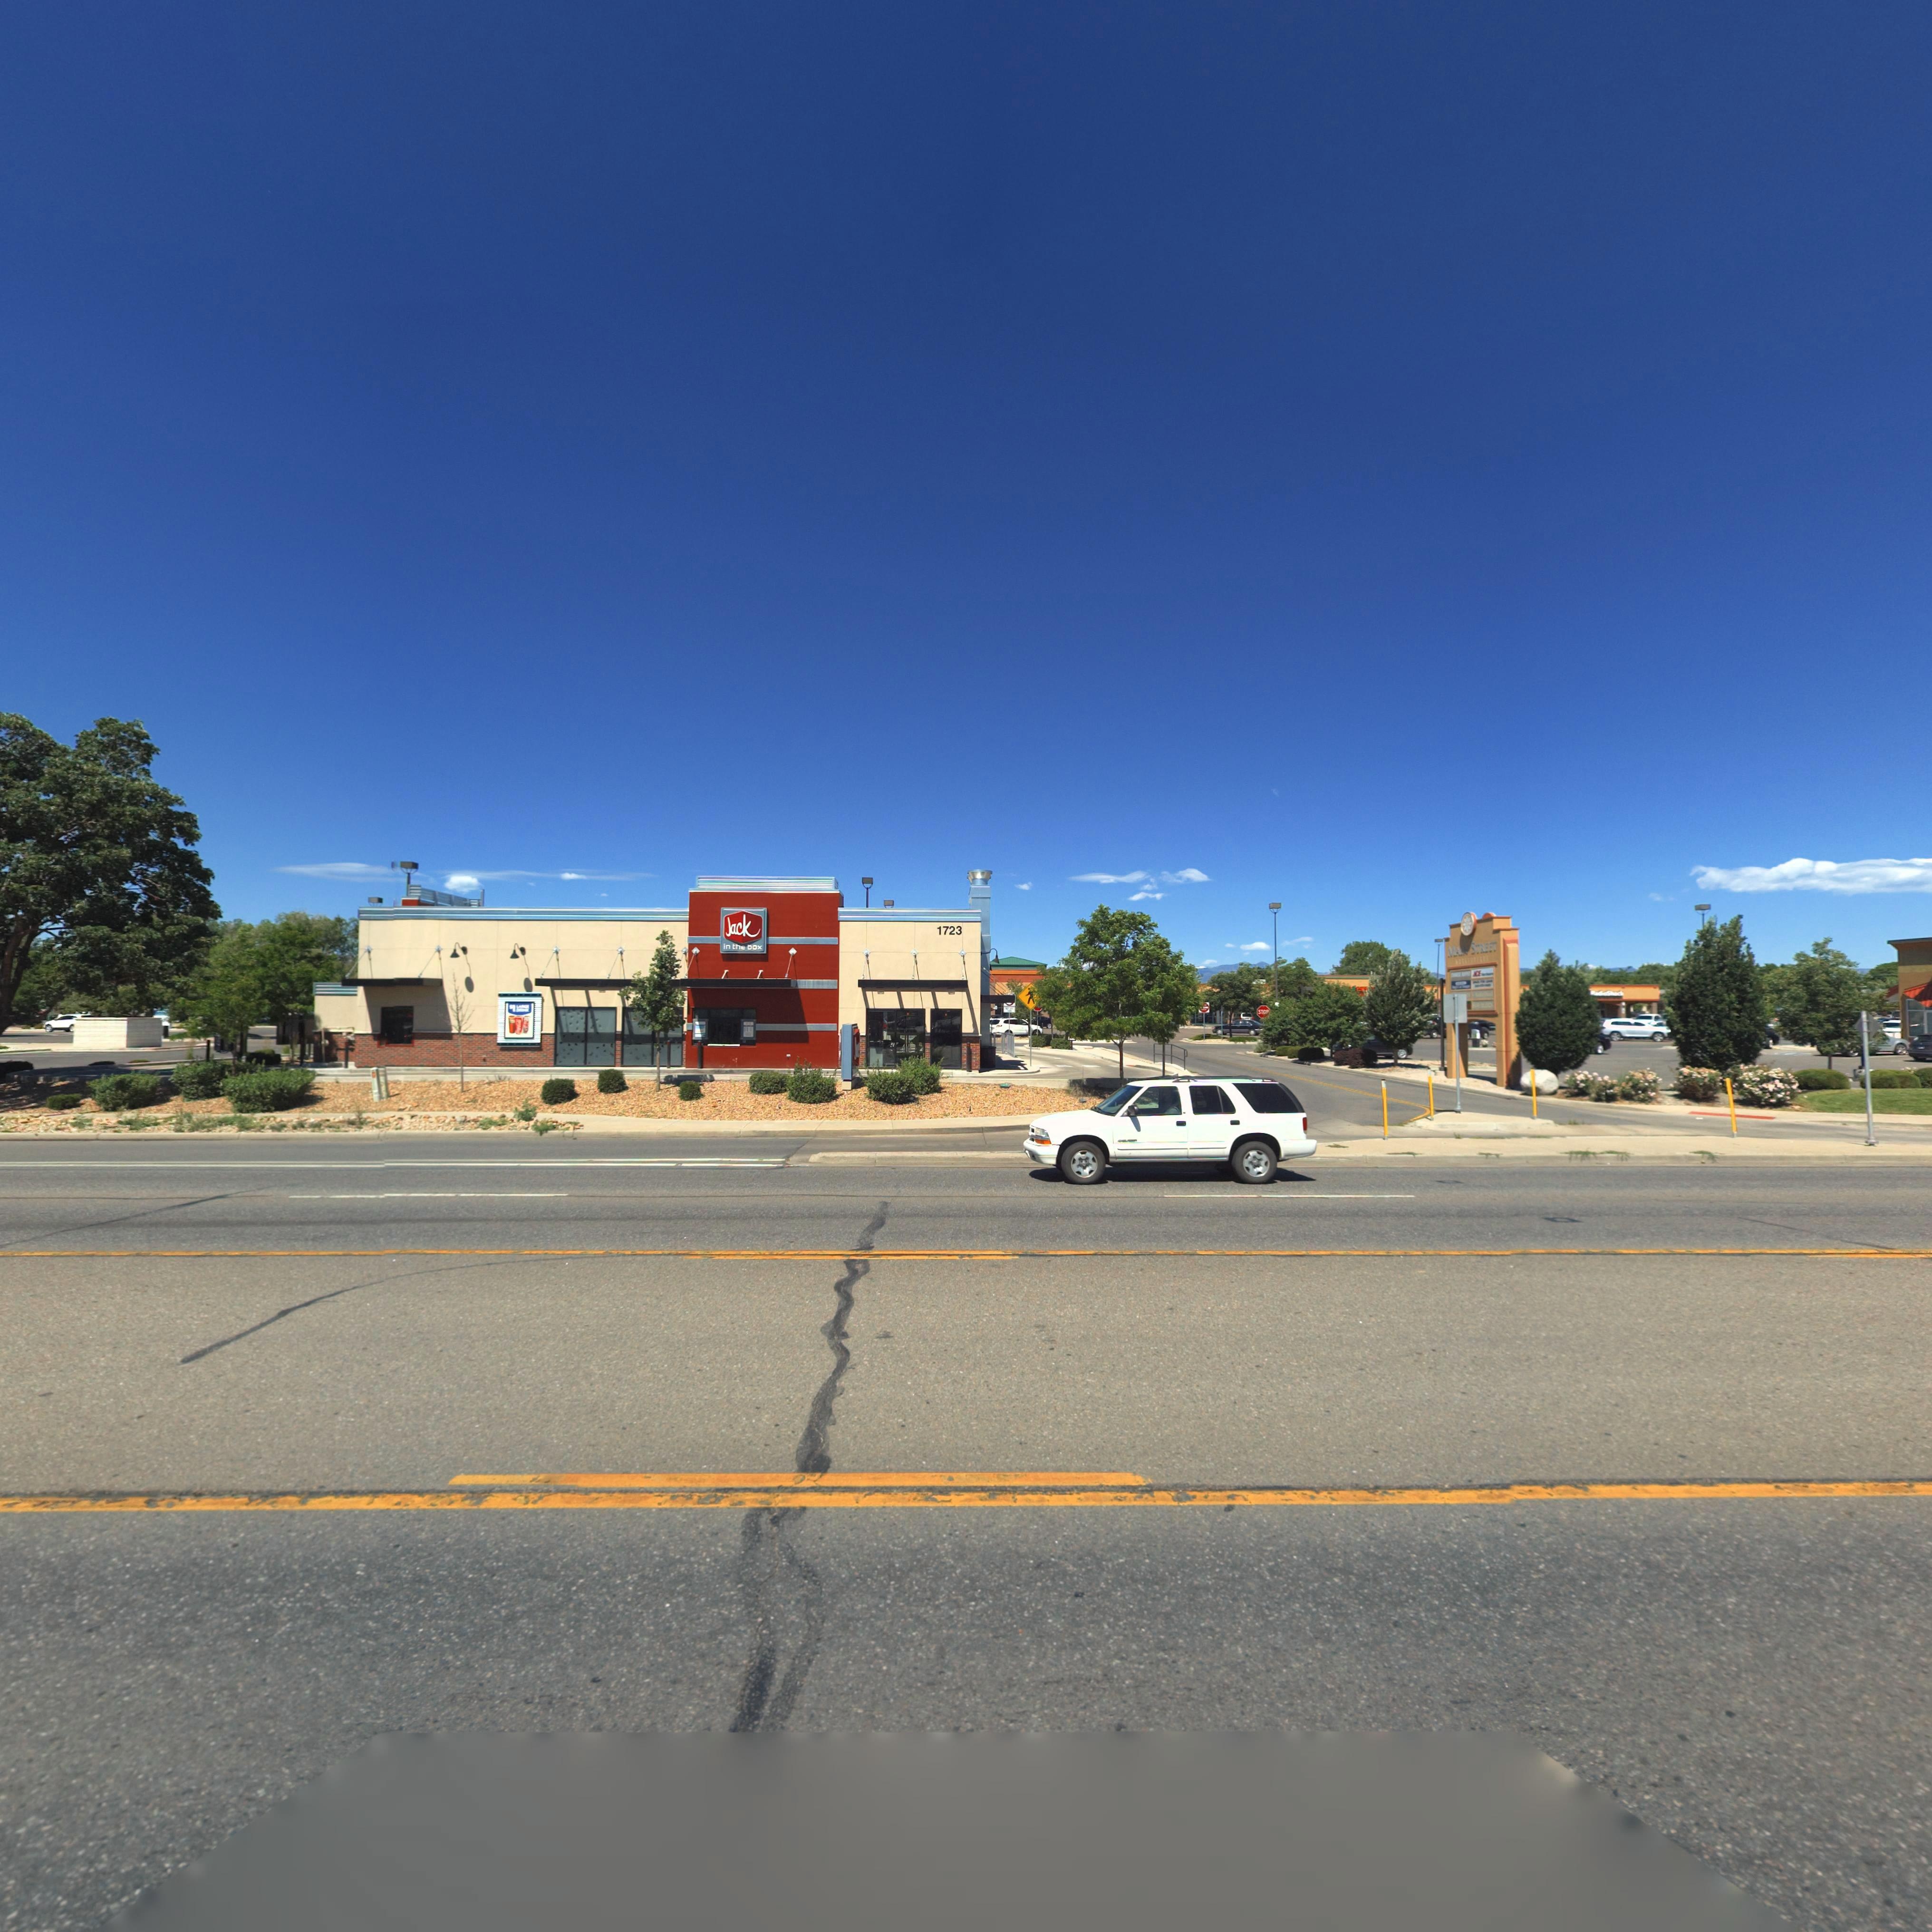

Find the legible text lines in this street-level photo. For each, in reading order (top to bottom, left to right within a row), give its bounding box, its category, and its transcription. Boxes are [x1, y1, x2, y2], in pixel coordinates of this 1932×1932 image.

[724, 913, 761, 938] BusinessName: Jack
[937, 925, 962, 936] StreetNumber: 1723
[723, 943, 763, 950] BusinessName: in the box
[1472, 970, 1481, 976] BusinessName: *CE
[1355, 986, 1365, 992] BusinessName: CE
[1589, 989, 1623, 996] BusinessName: Rad*oSh*ck
[1471, 1002, 1494, 1008] BusinessName: *** BL***